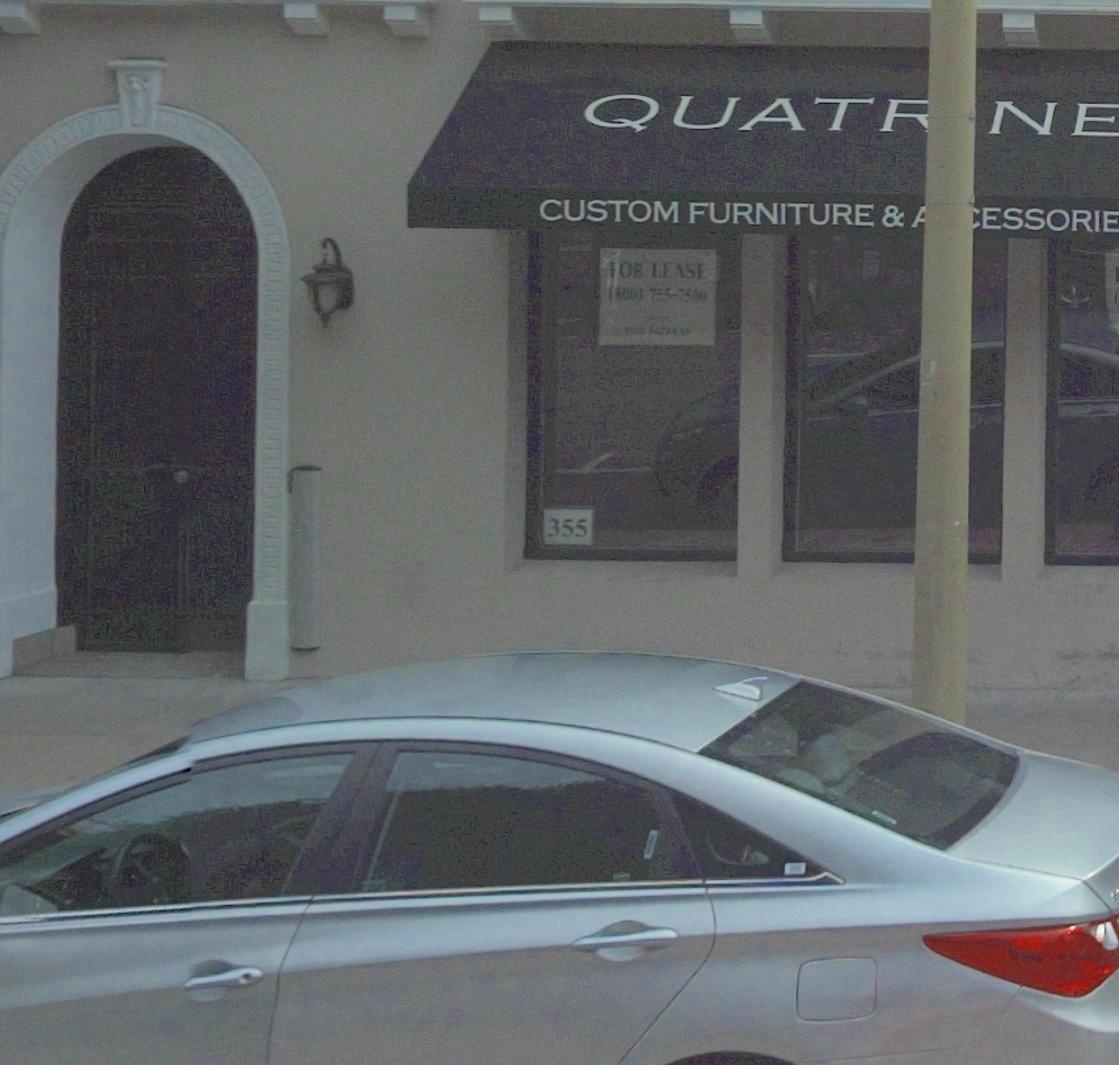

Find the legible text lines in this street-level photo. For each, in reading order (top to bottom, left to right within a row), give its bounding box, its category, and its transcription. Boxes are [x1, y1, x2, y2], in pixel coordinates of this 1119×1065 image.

[580, 92, 1118, 139] BusinessName: QUAT**NE
[537, 197, 1102, 234] None: CUSTOM FURNITURE & ***ESSORI
[608, 261, 708, 281] None: *OR LEASE
[607, 284, 709, 305] None: (800) 755-7500
[547, 517, 589, 539] StreetNumber: 355